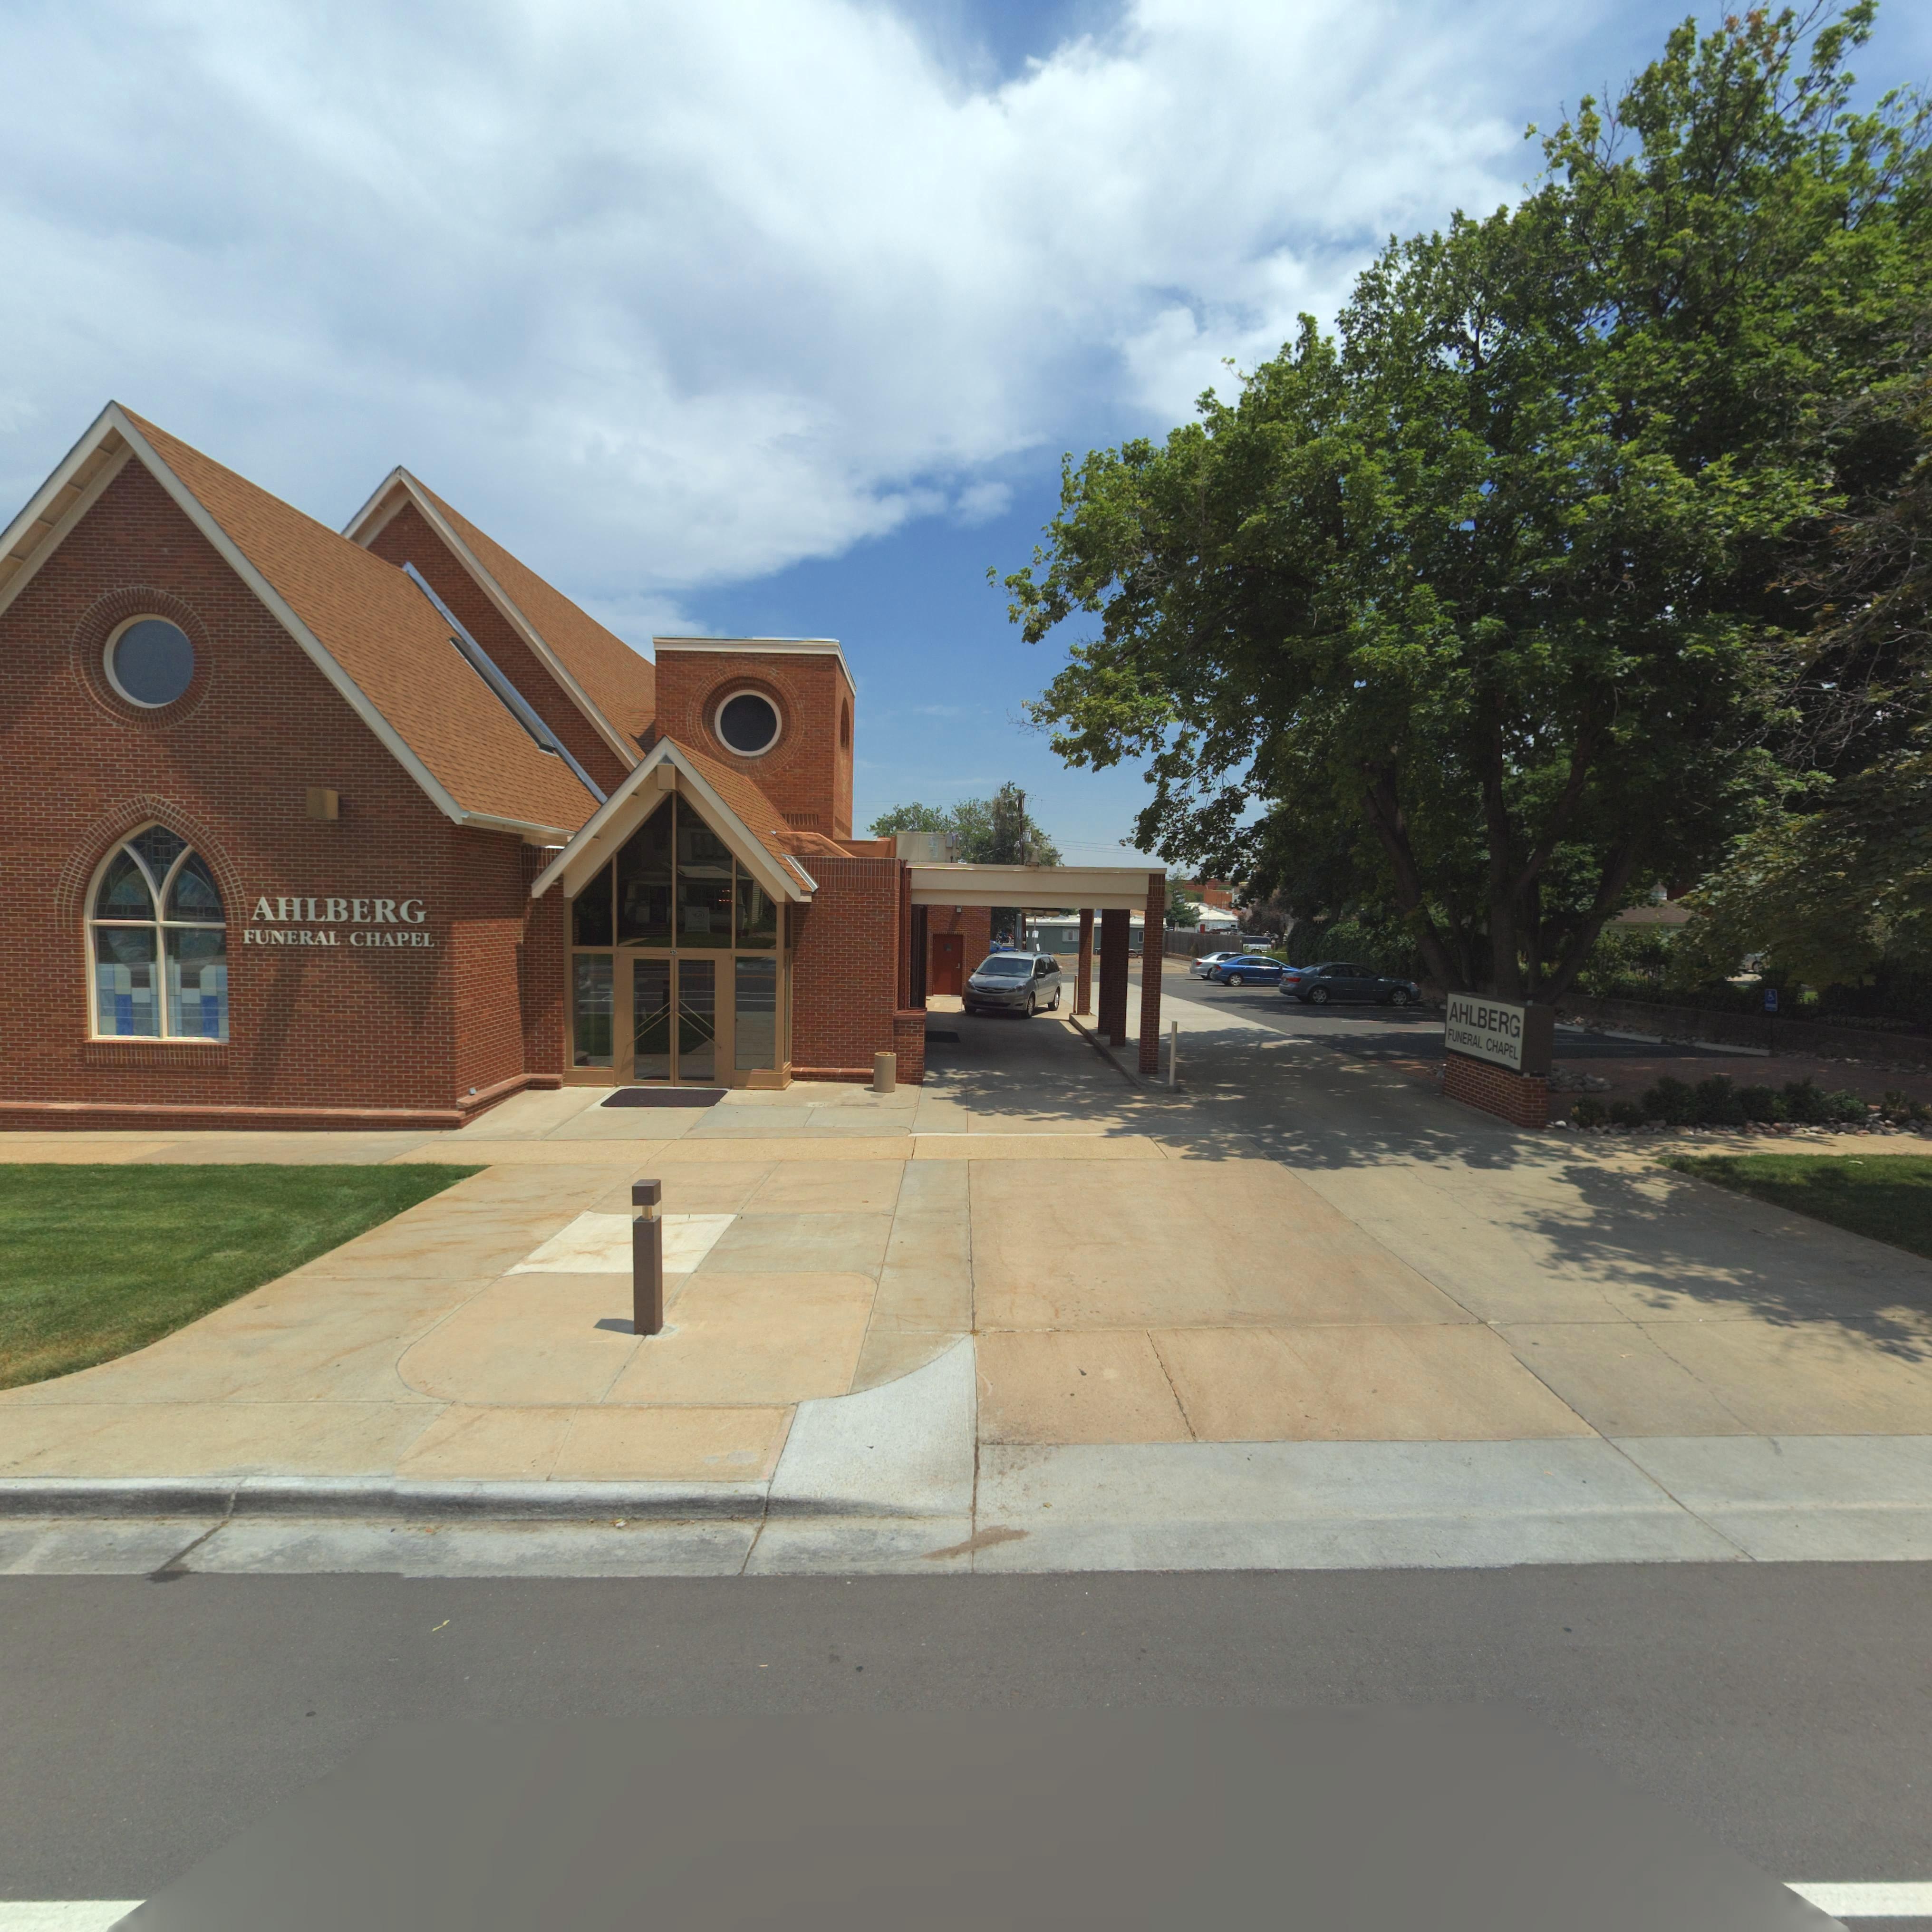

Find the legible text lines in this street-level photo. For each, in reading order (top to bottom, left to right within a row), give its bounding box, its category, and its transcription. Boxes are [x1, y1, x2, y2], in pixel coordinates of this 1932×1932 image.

[249, 895, 427, 924] BusinessName: AHLBERG
[242, 929, 435, 947] BusinessName: FUNERAL CHAPEL
[1448, 1001, 1521, 1039] BusinessName: AHLBERG
[1448, 1027, 1518, 1061] BusinessName: FUNERAL CHAPEL